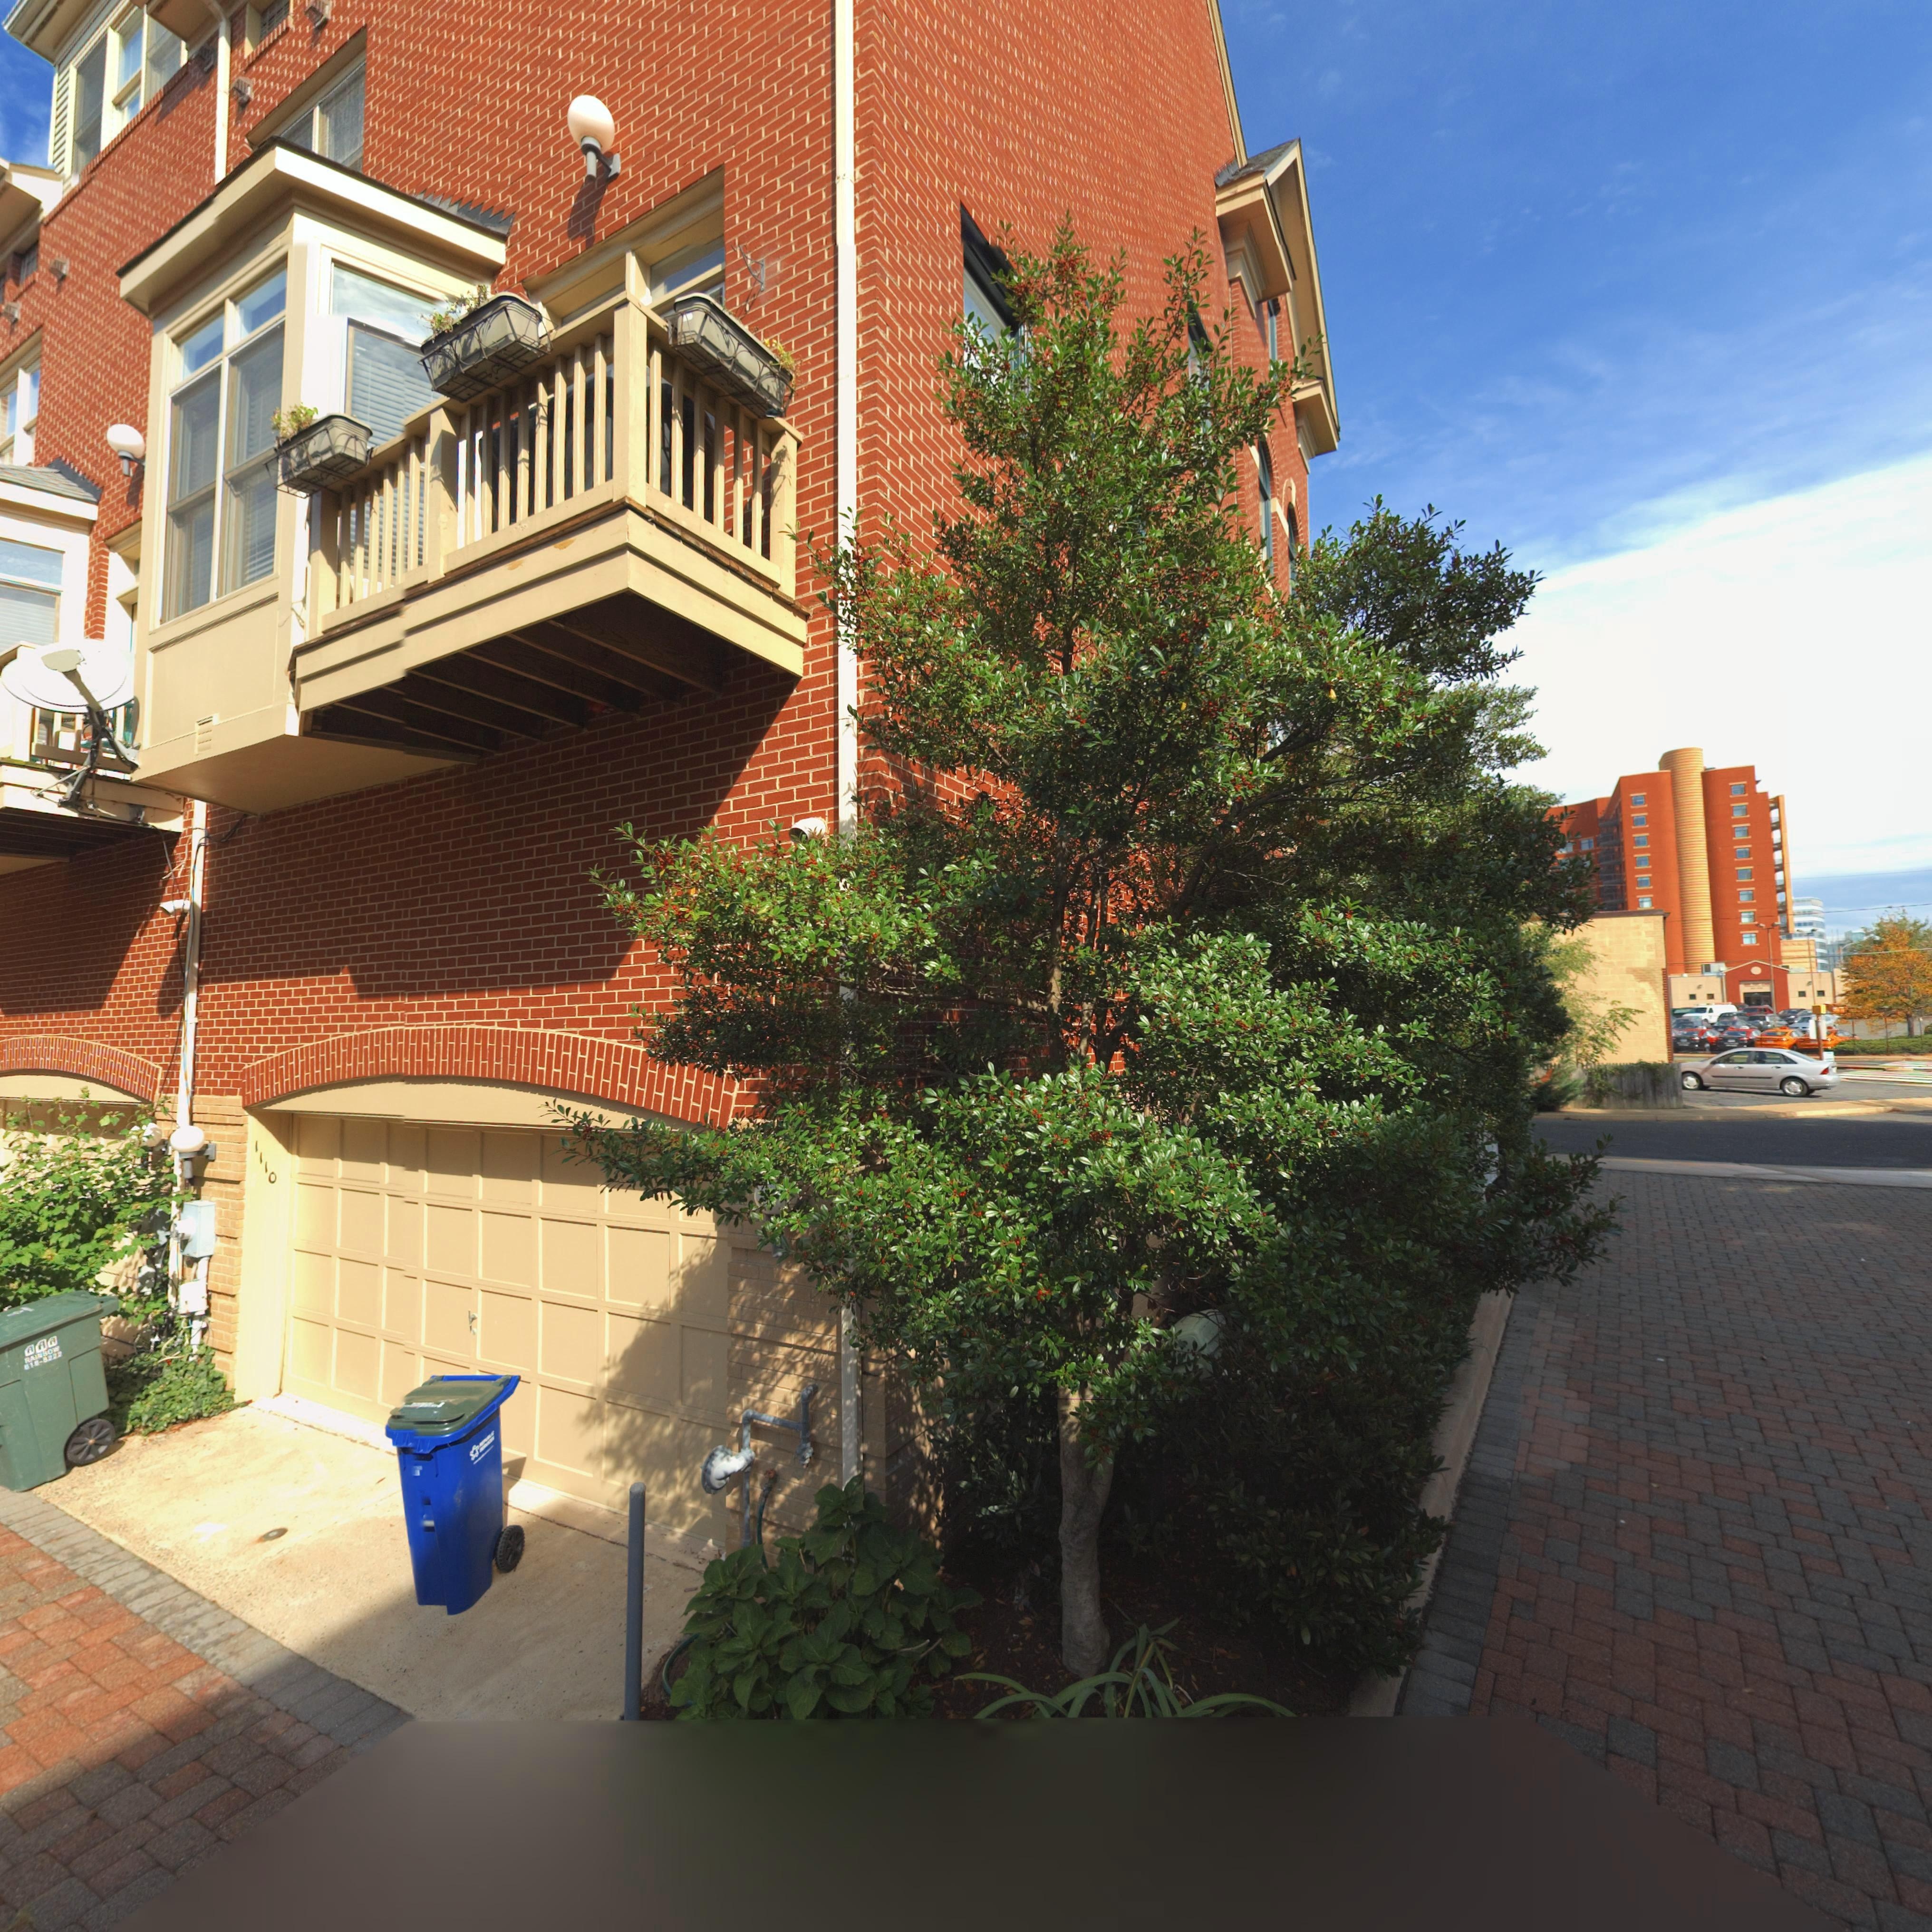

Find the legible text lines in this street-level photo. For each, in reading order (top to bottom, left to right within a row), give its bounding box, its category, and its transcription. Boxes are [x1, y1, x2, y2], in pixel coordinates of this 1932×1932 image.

[253, 1139, 278, 1186] StreetNumber: 1110
[27, 1336, 57, 1355] None: AAA